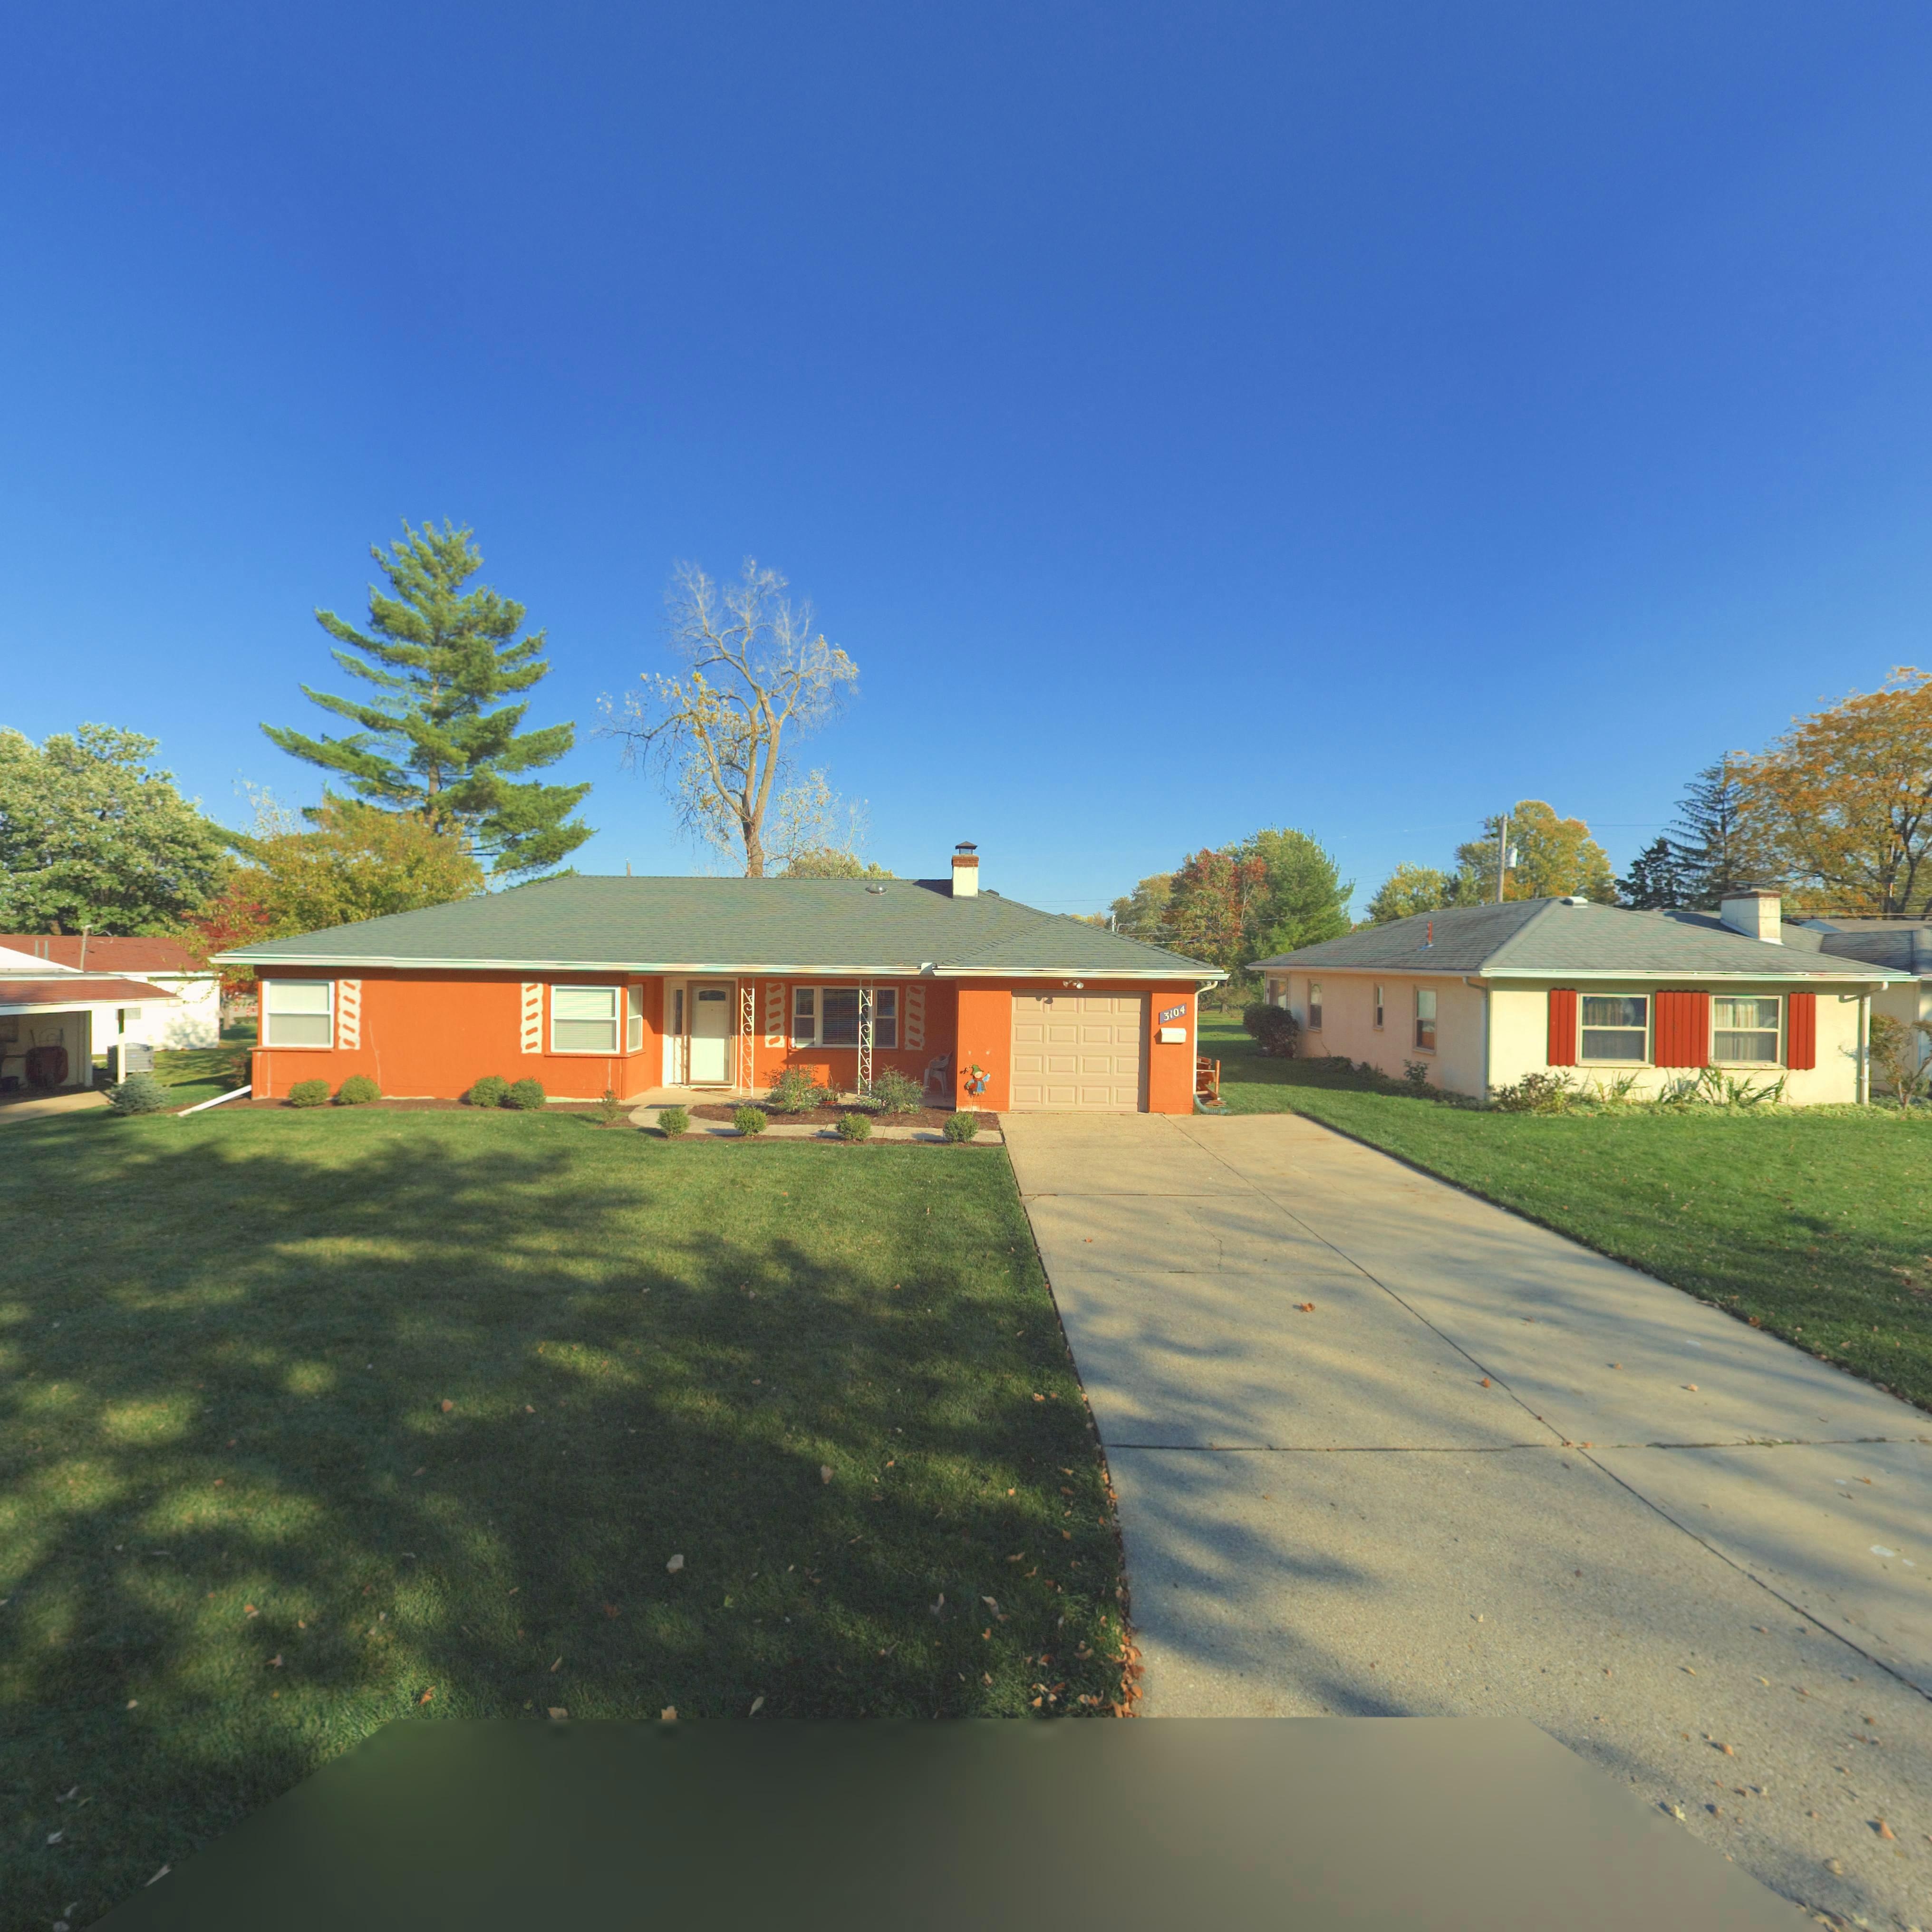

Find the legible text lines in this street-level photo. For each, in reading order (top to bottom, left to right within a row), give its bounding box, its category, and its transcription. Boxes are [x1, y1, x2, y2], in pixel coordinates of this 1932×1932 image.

[1162, 1004, 1187, 1022] StreetNumber: 3104